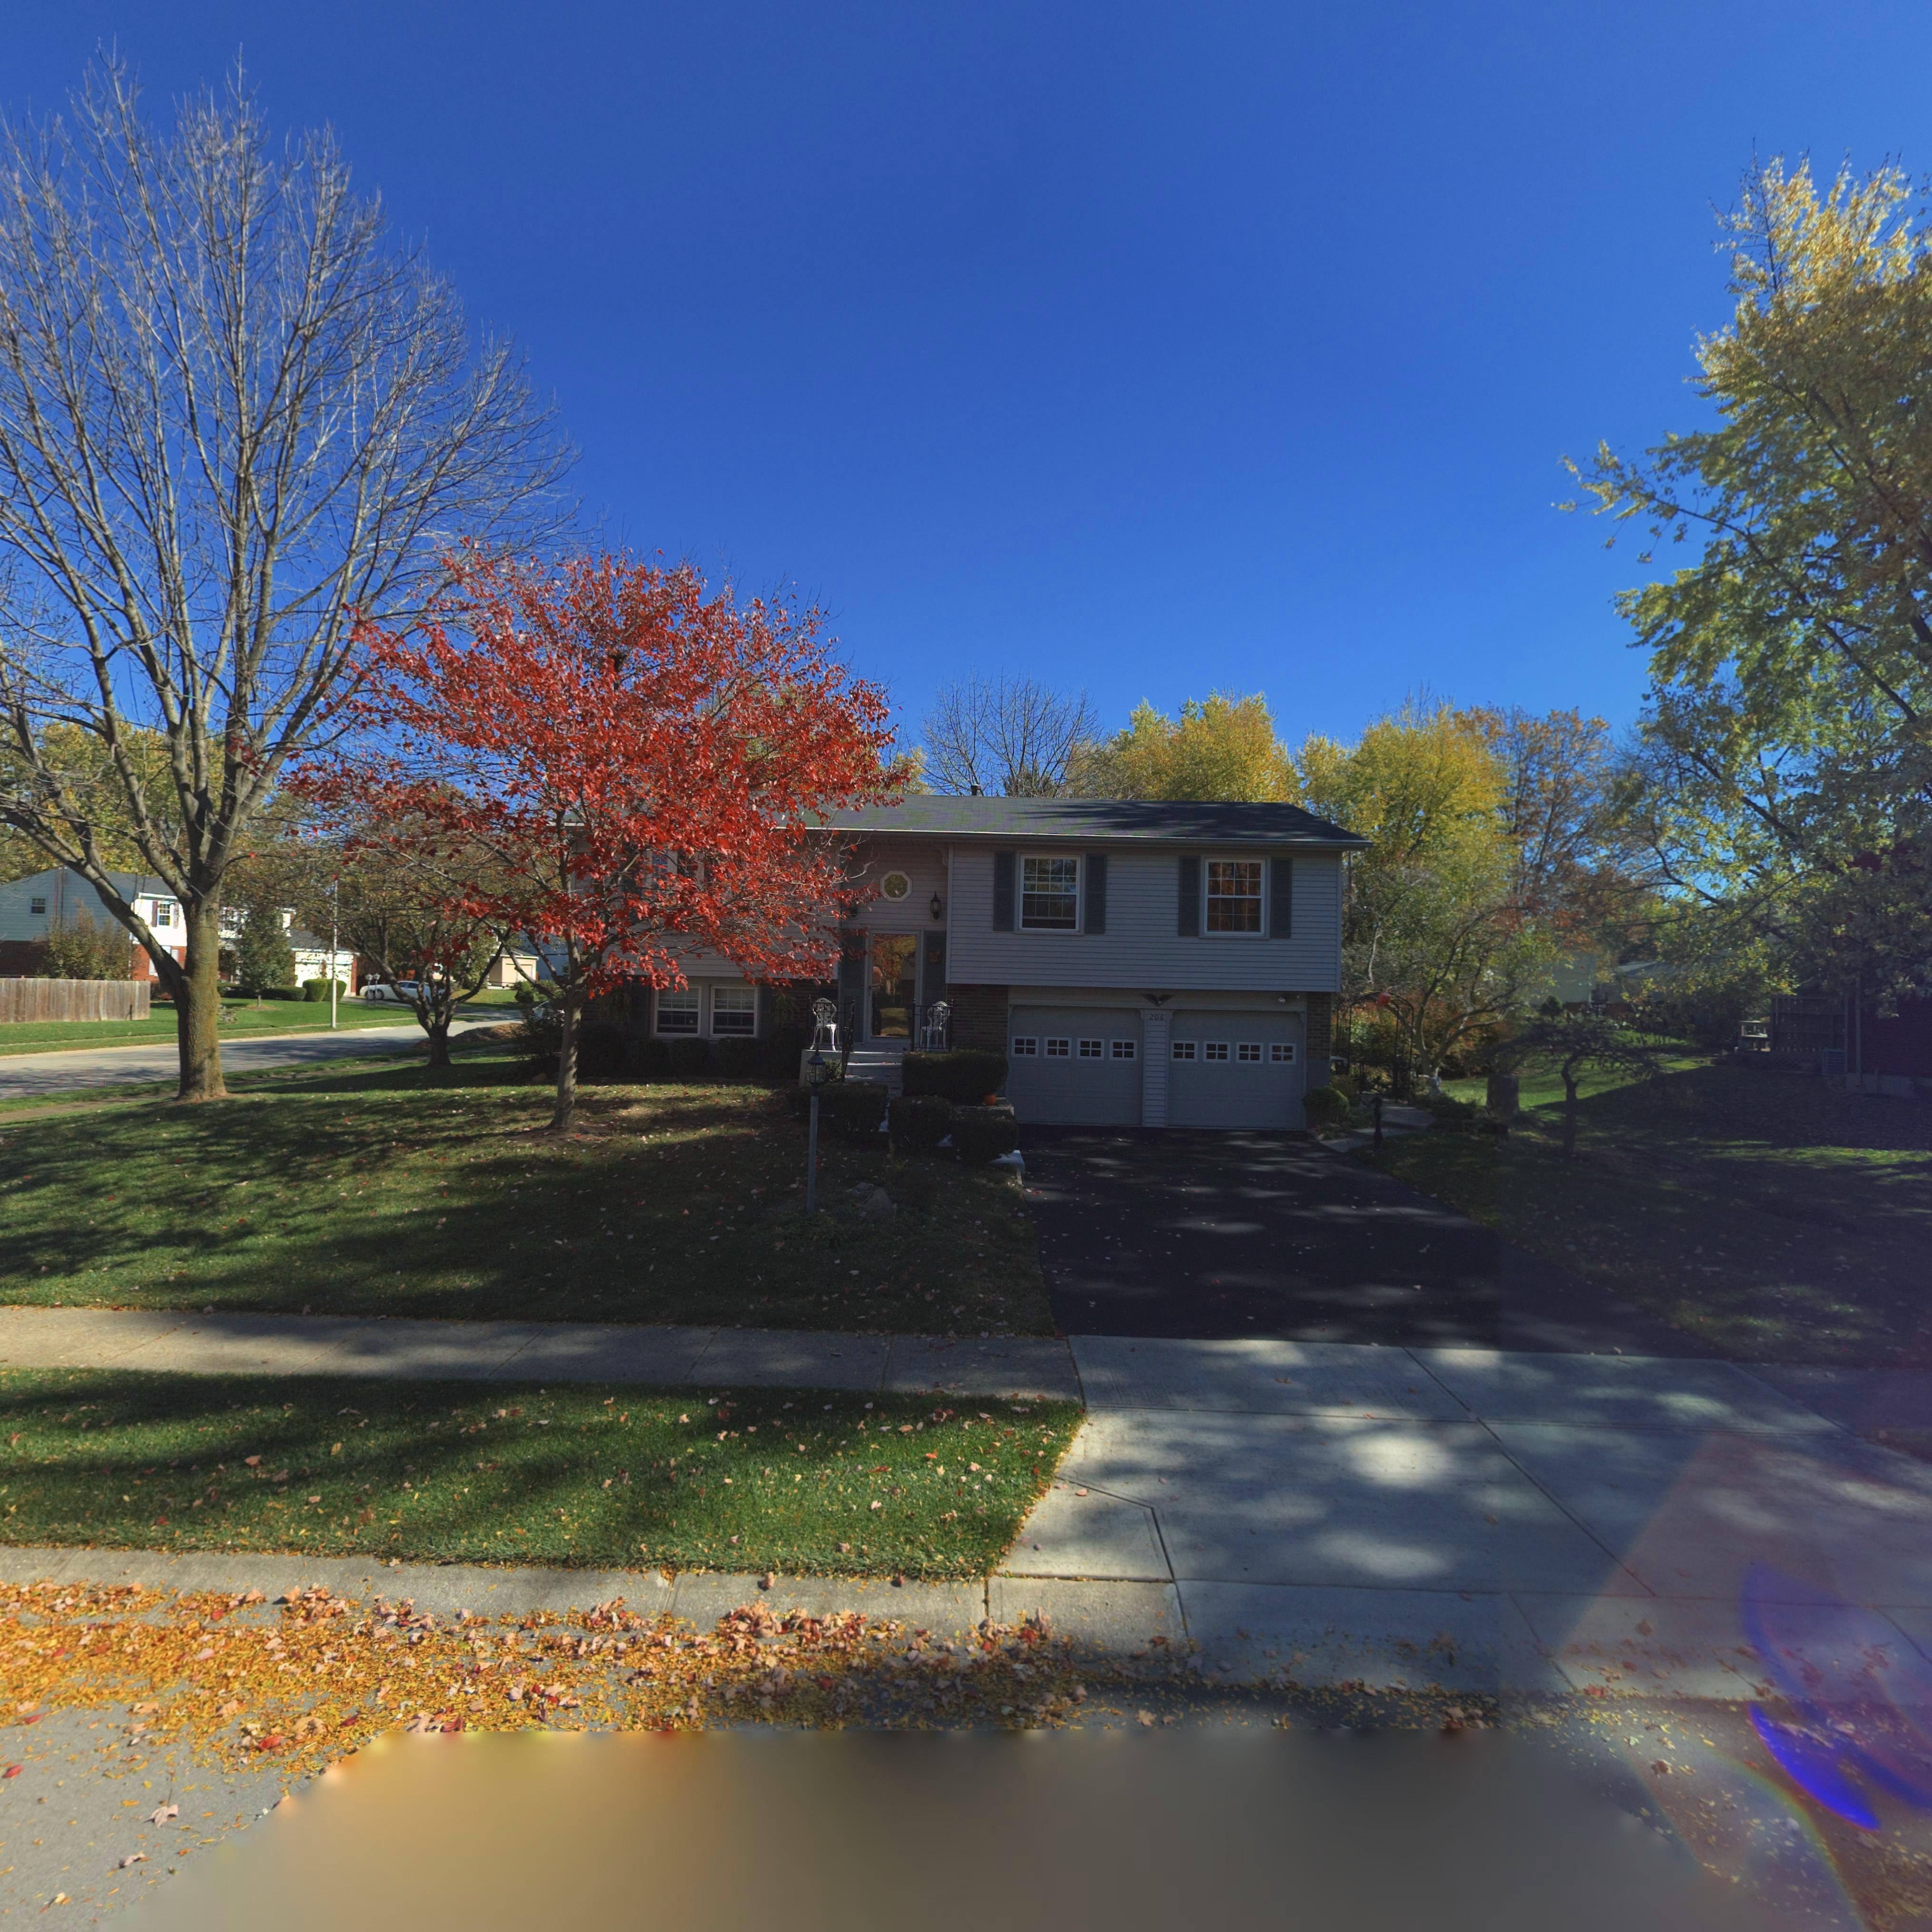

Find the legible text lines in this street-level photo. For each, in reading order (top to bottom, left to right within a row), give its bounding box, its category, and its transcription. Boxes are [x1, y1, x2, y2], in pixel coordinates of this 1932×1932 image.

[1149, 1013, 1164, 1021] StreetNumber: 206